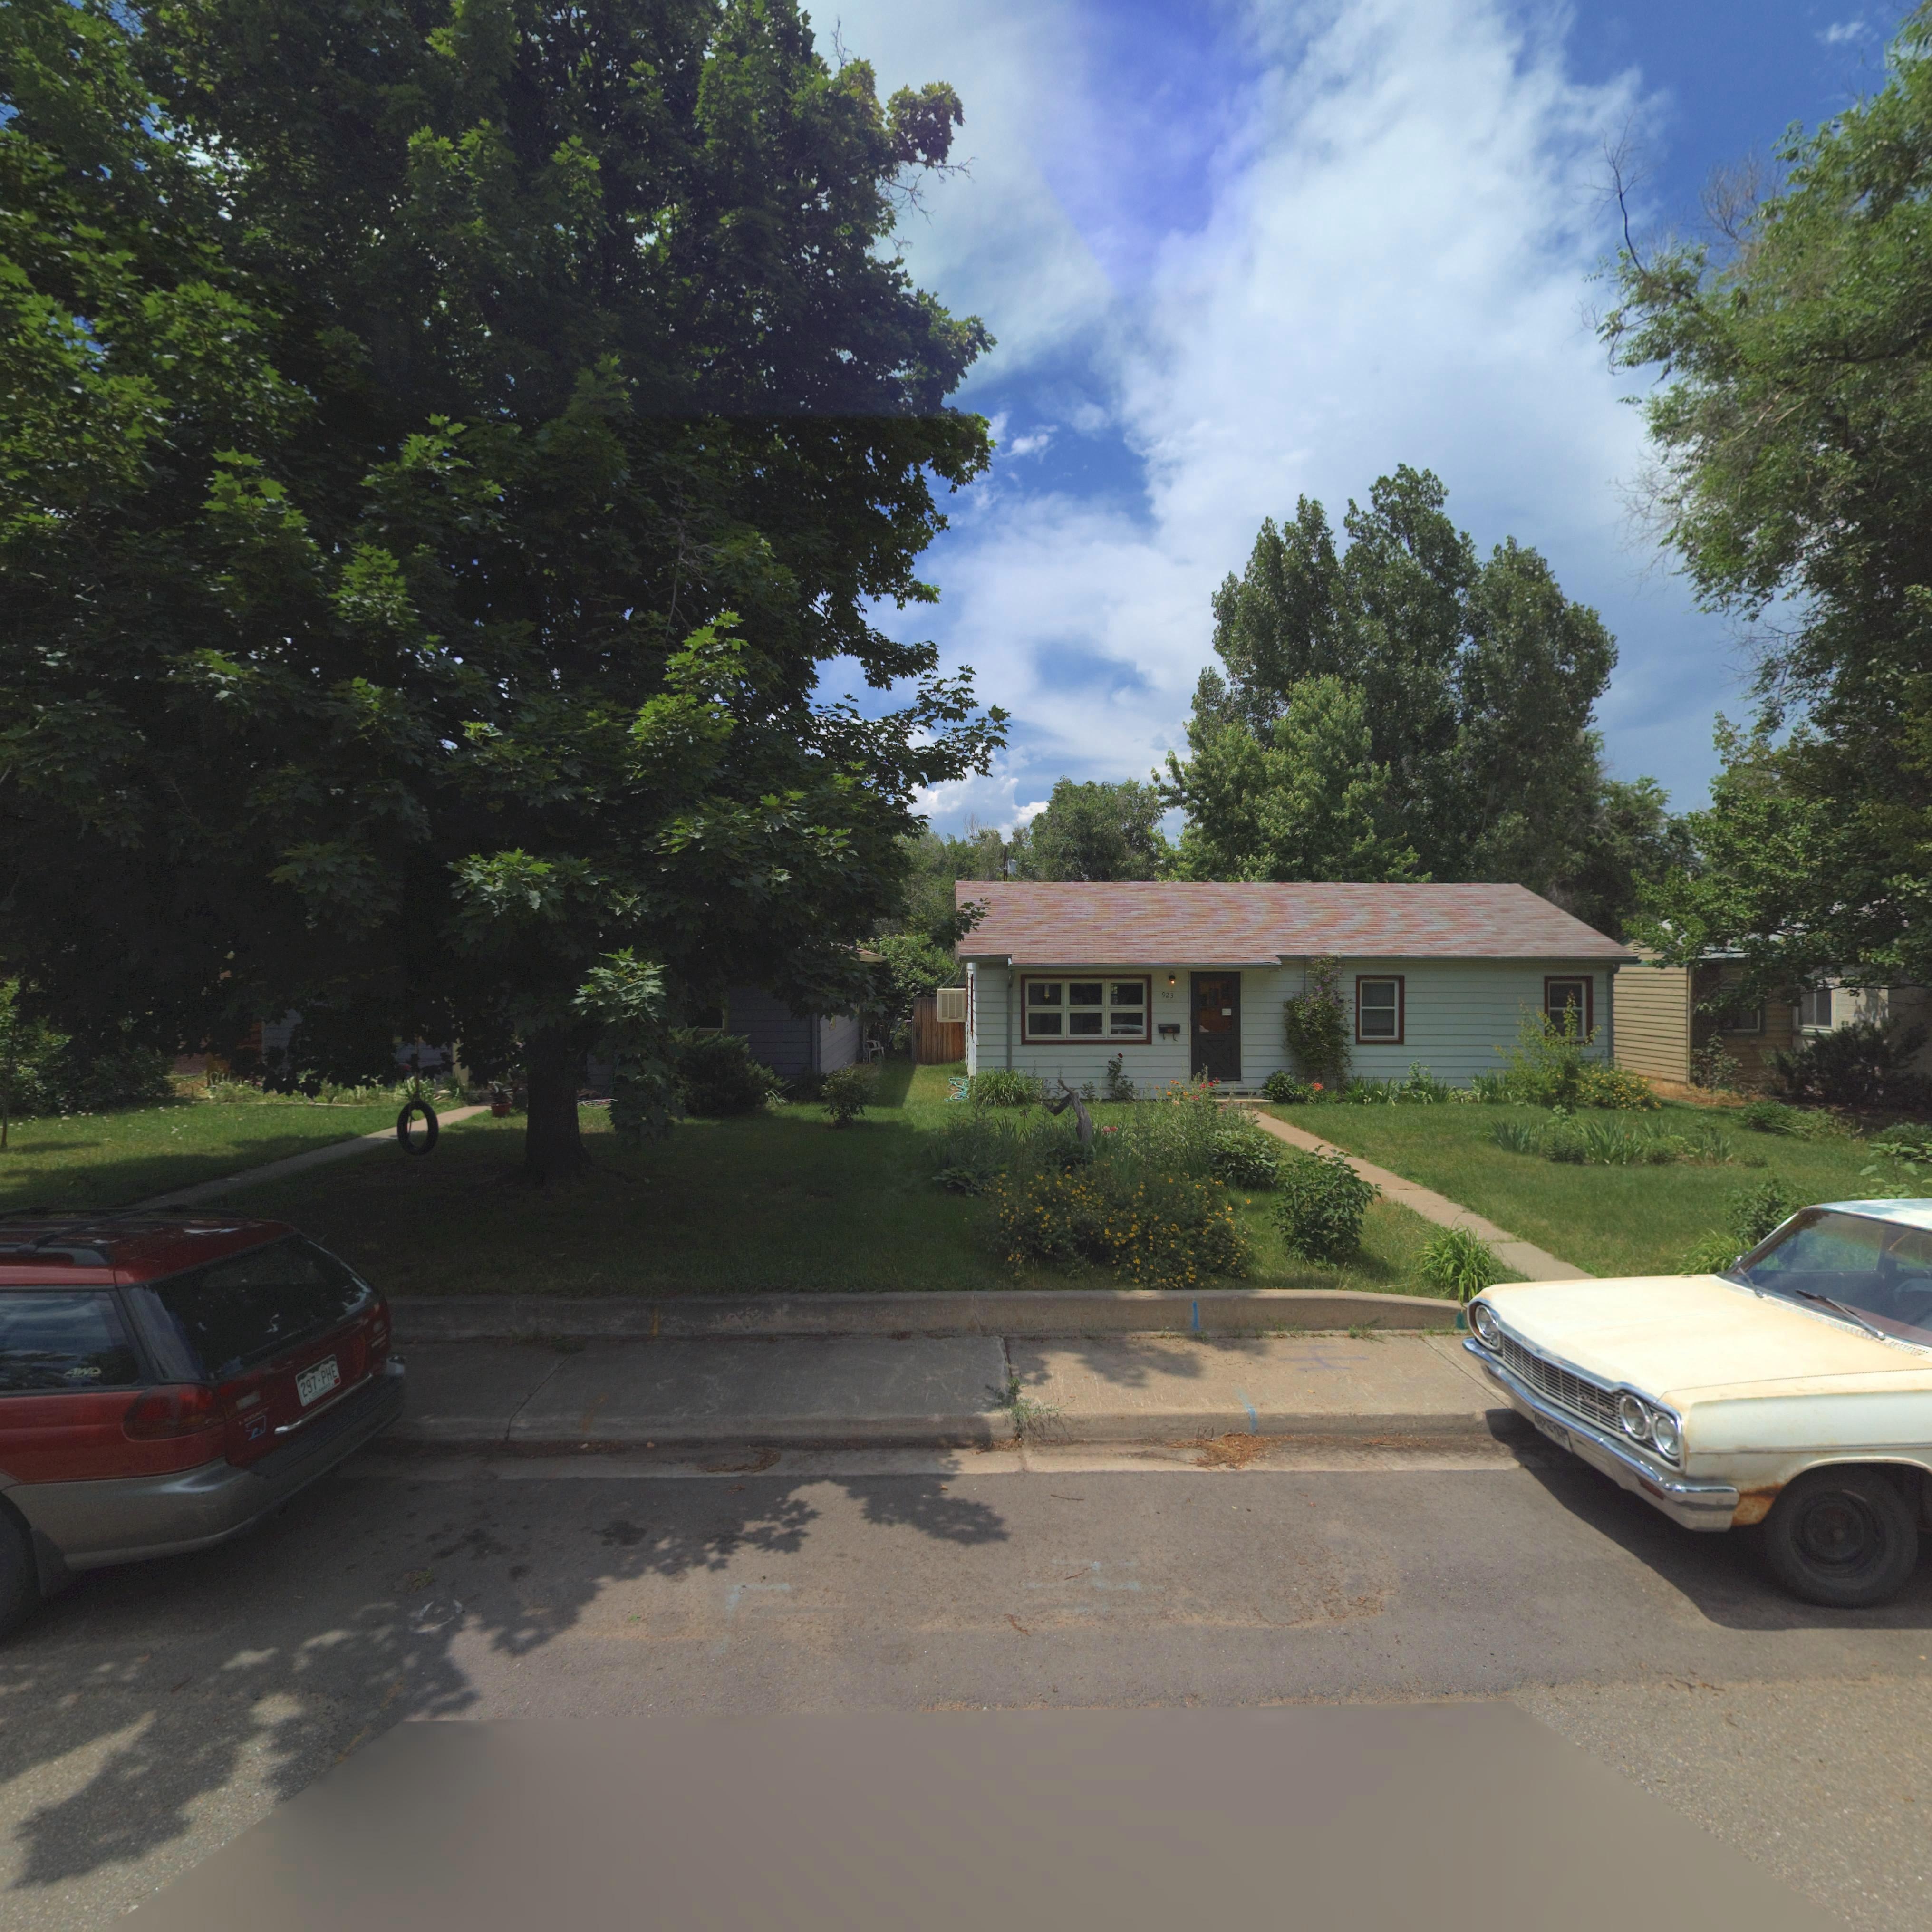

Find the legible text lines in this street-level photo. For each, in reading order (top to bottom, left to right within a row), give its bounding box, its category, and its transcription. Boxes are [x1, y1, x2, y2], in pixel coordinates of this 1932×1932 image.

[1161, 991, 1174, 999] StreetNumber: 923